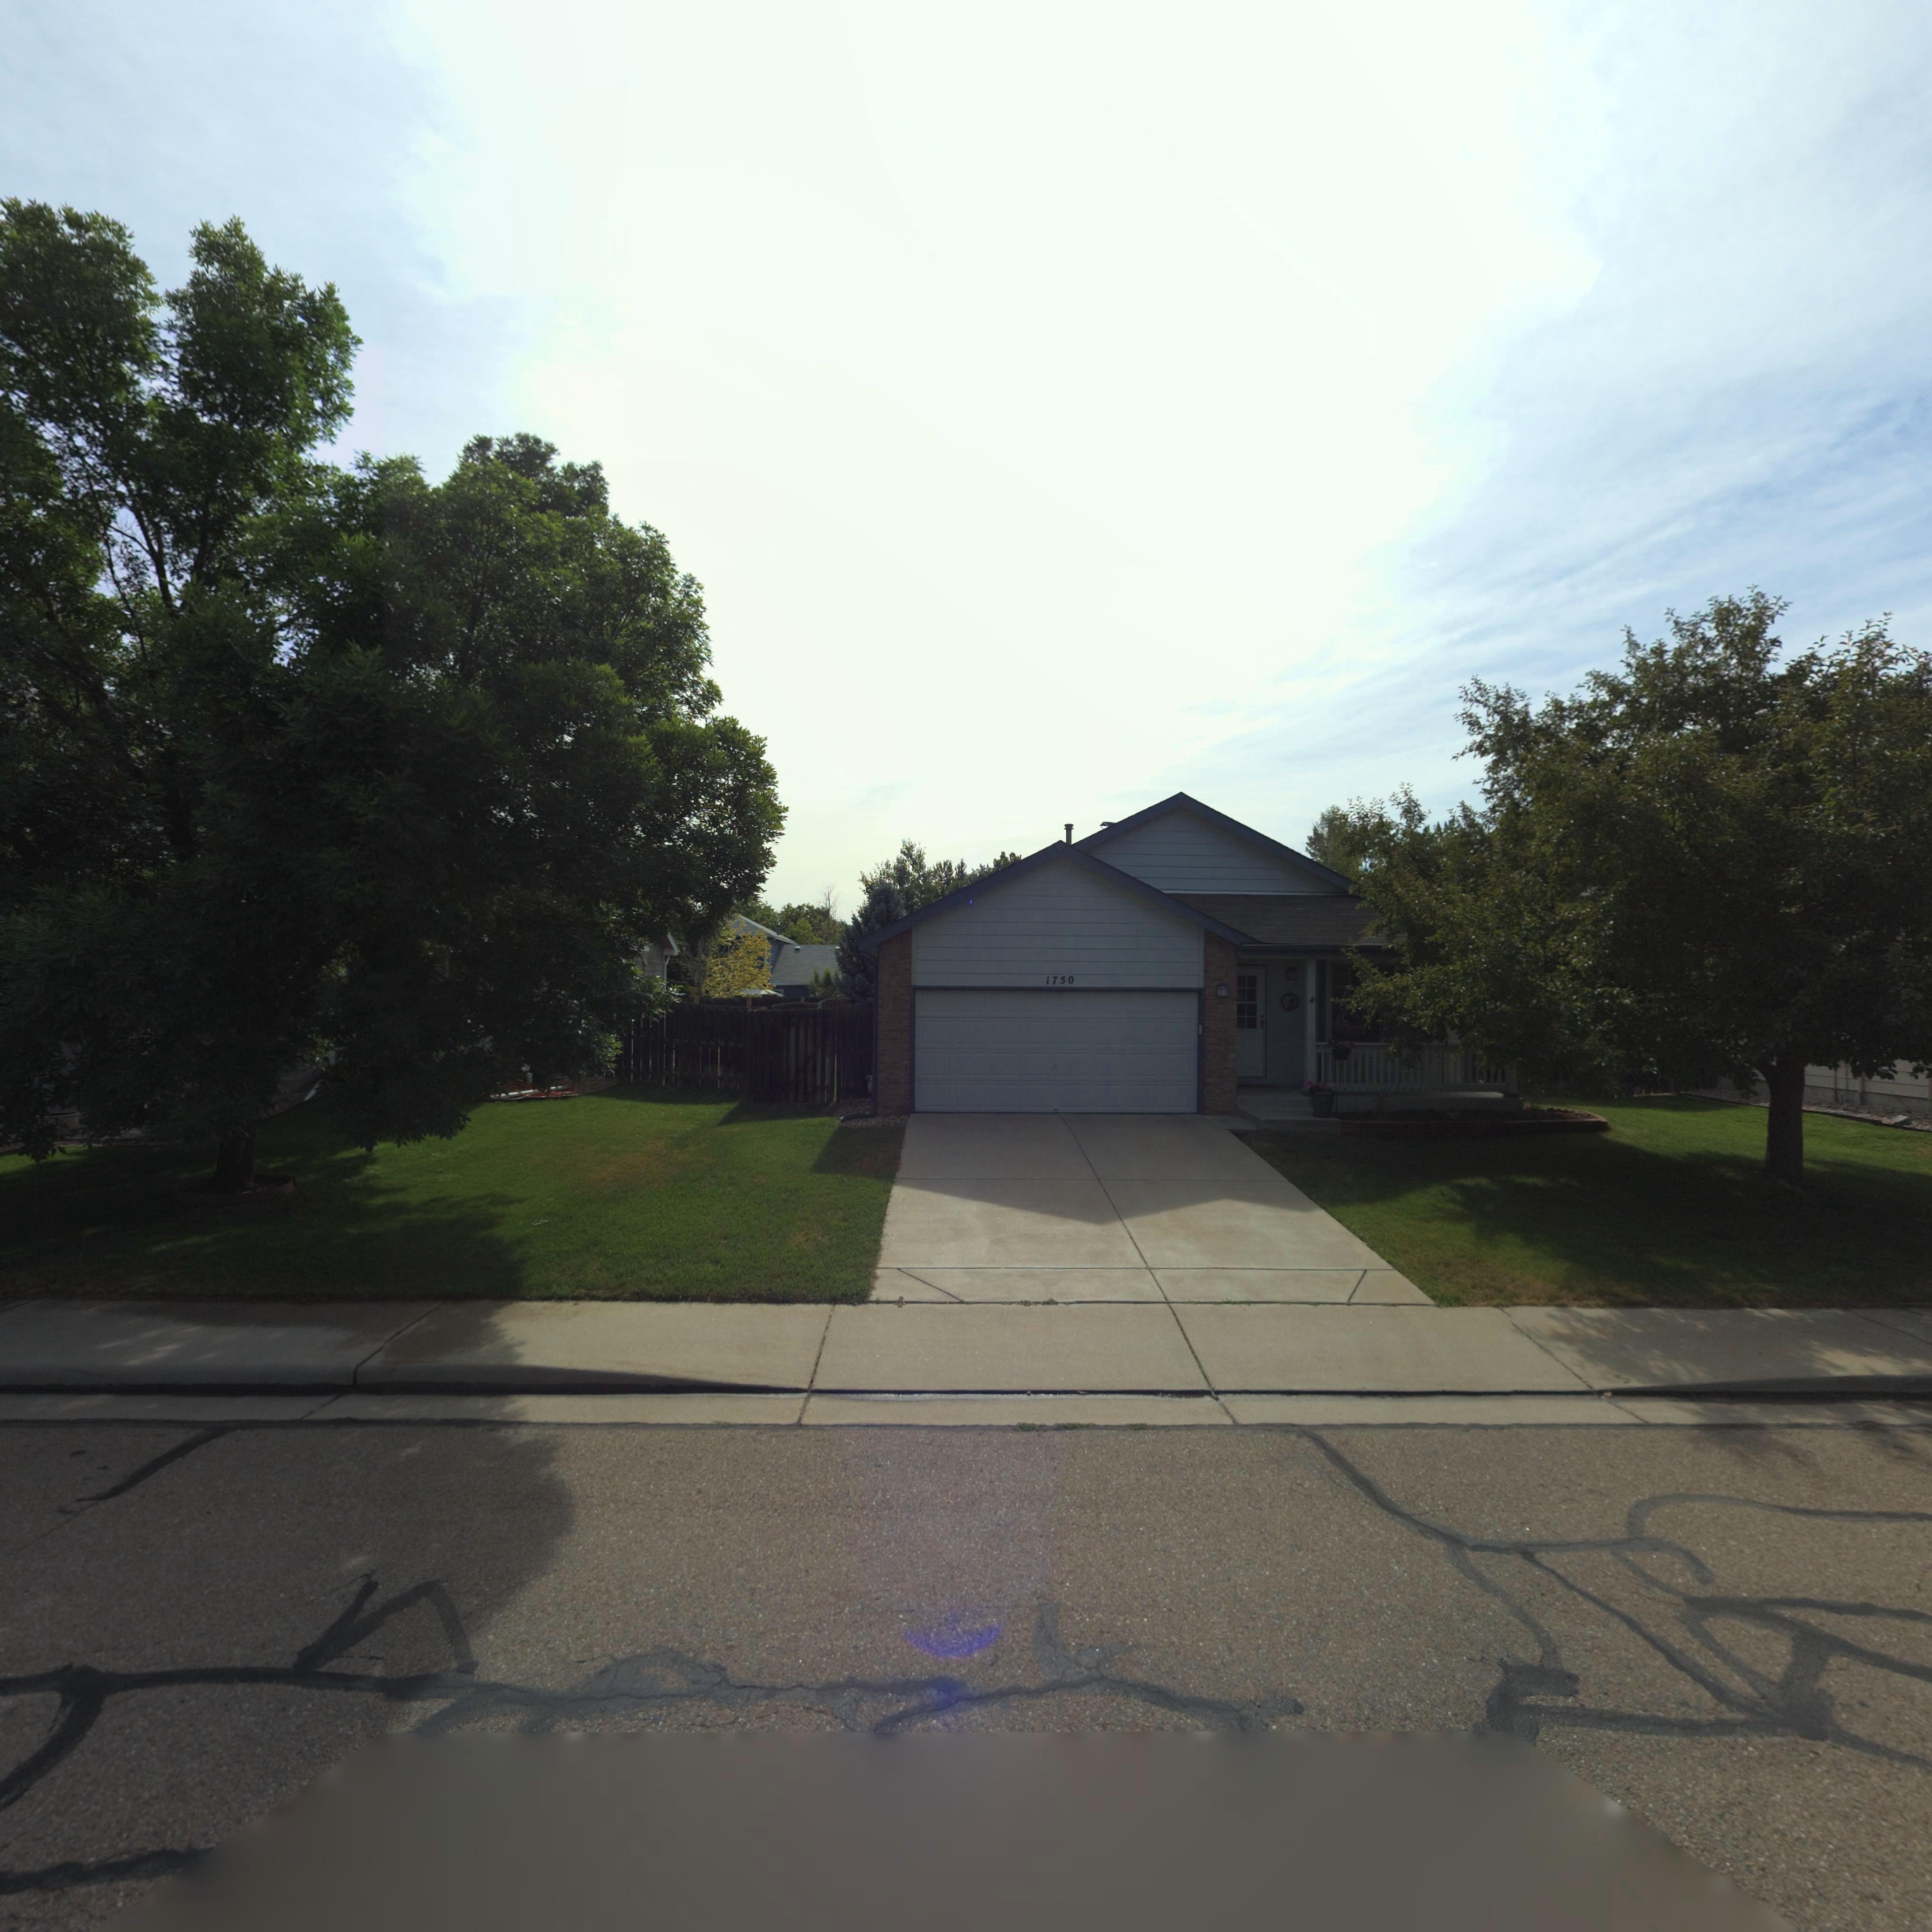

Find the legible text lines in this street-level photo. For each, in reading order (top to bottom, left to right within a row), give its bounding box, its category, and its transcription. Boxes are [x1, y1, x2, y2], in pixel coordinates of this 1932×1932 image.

[1046, 975, 1073, 985] StreetNumber: 1750